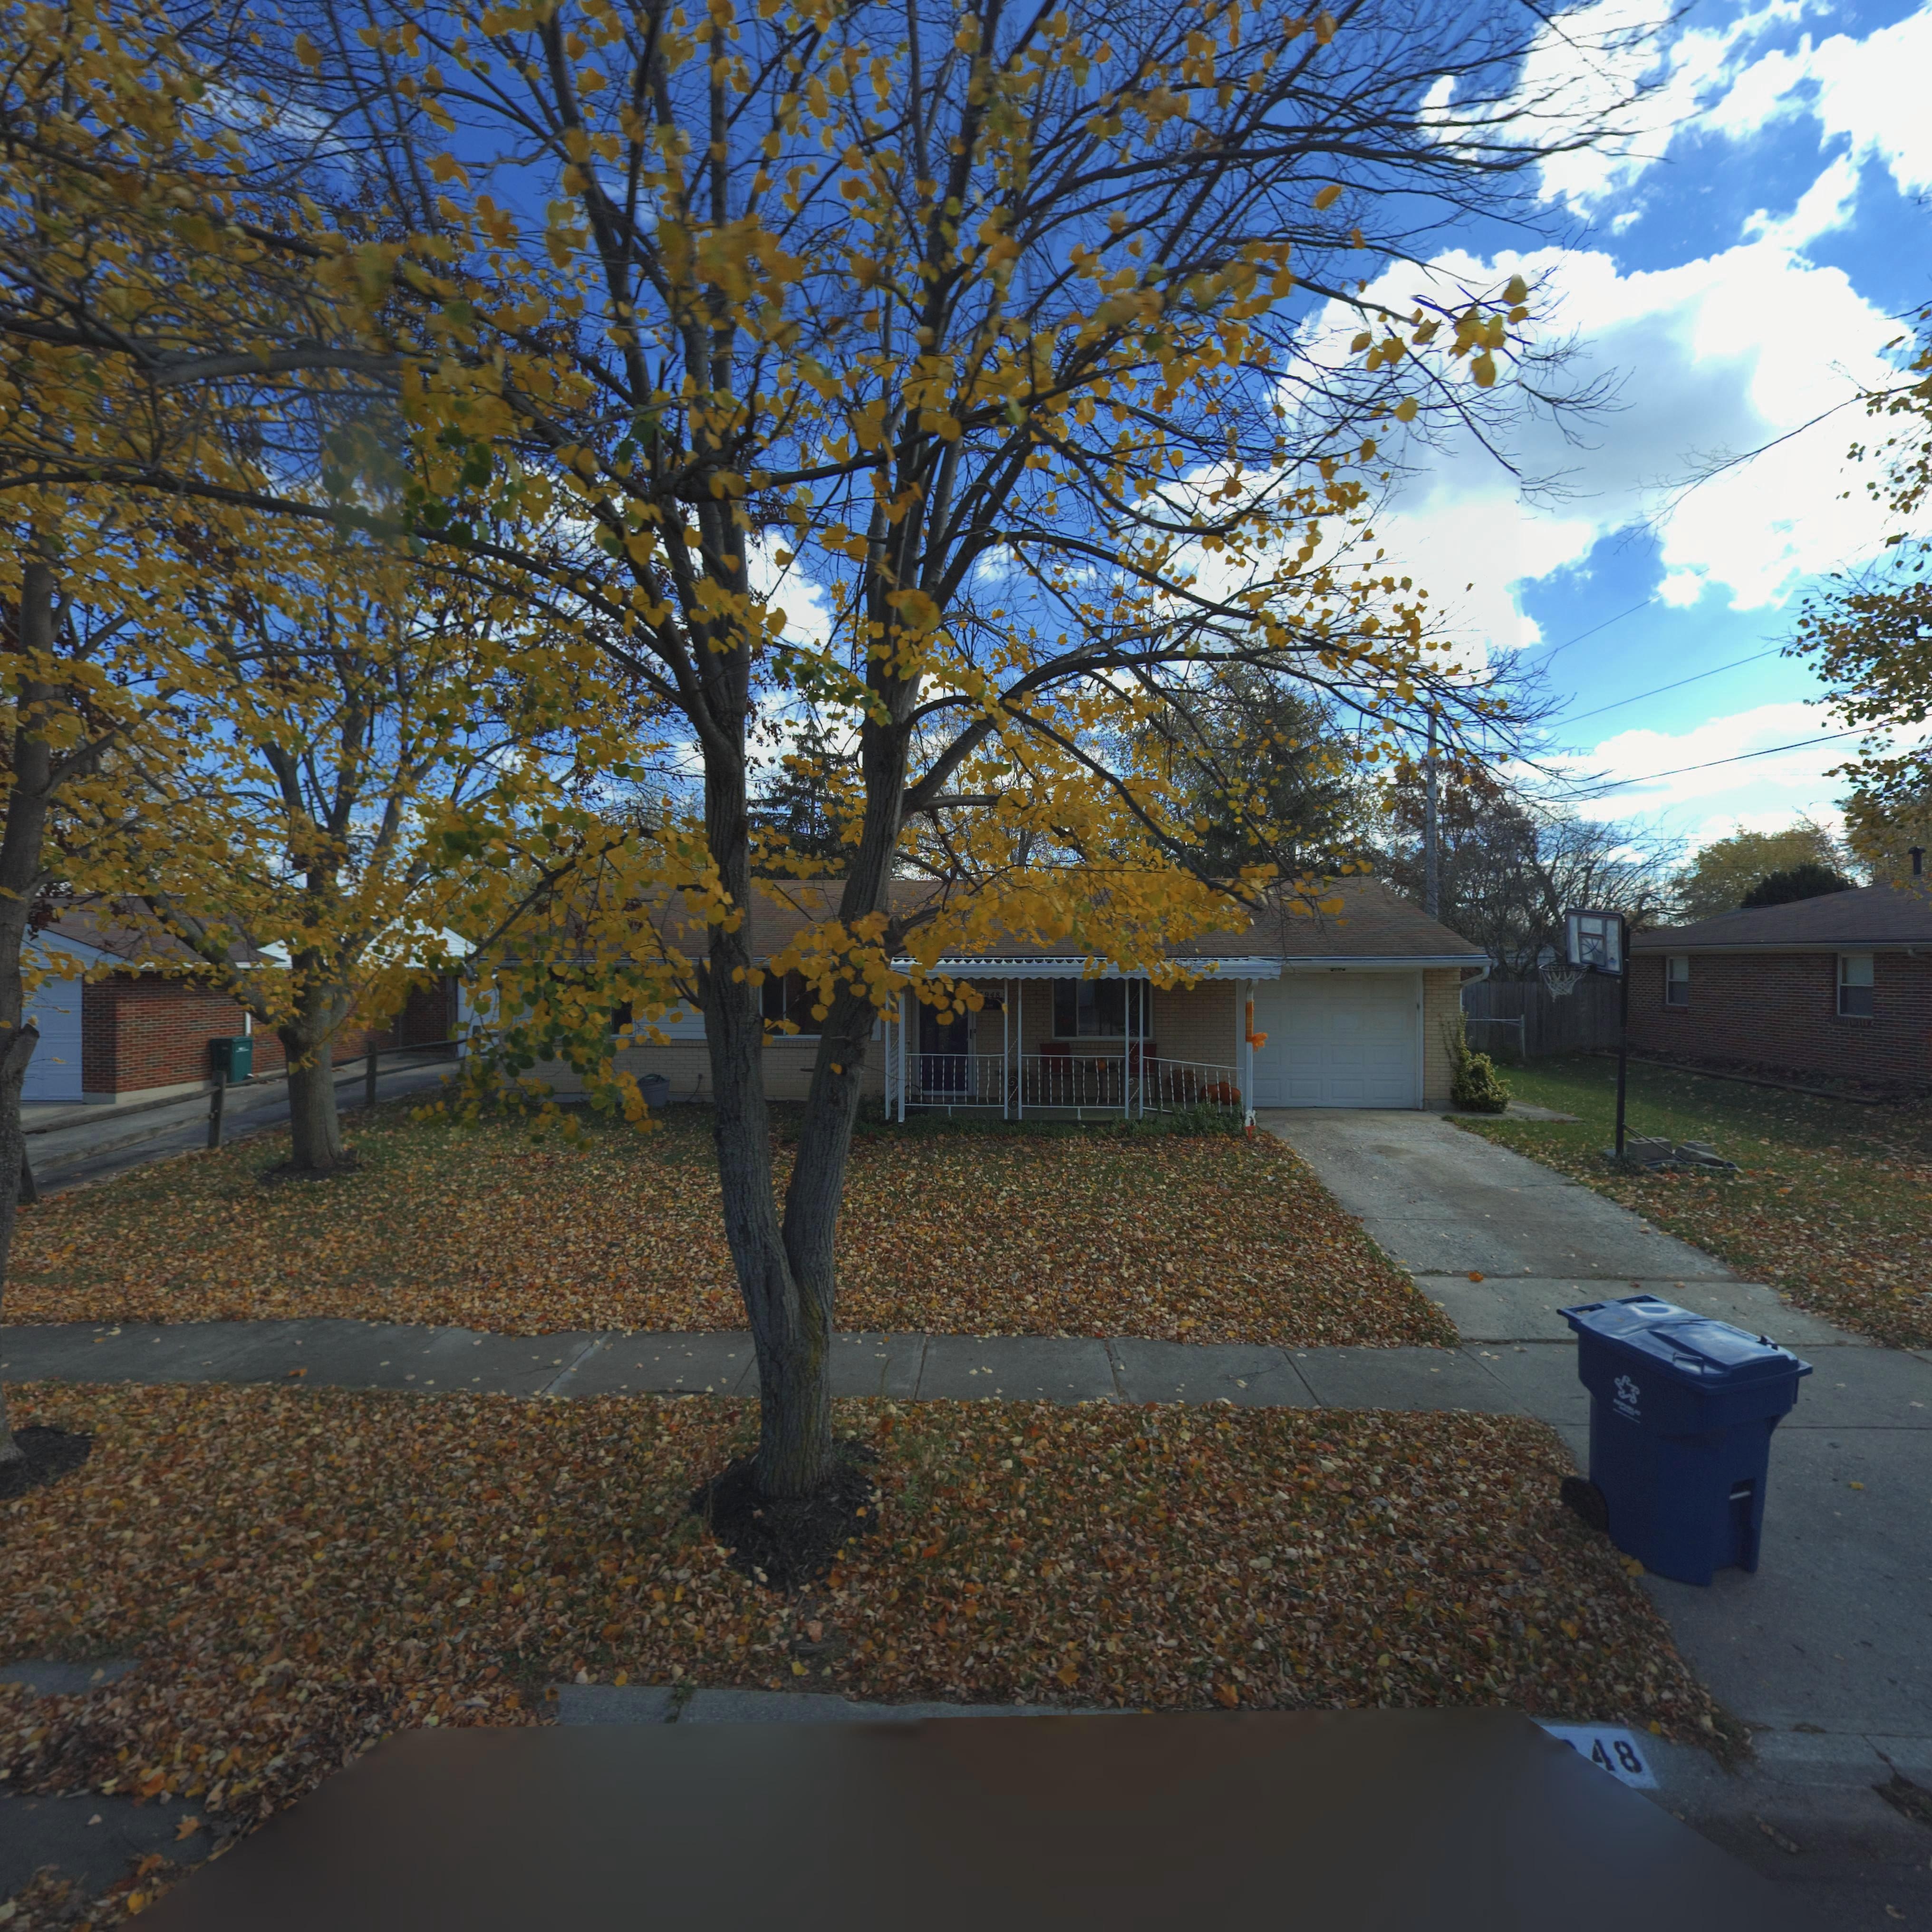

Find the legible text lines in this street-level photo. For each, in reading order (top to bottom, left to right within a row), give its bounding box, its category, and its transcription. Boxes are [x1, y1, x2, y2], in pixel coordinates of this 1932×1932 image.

[984, 991, 1001, 999] StreetNumber: 948
[1591, 1738, 1644, 1775] StreetNumber: 48